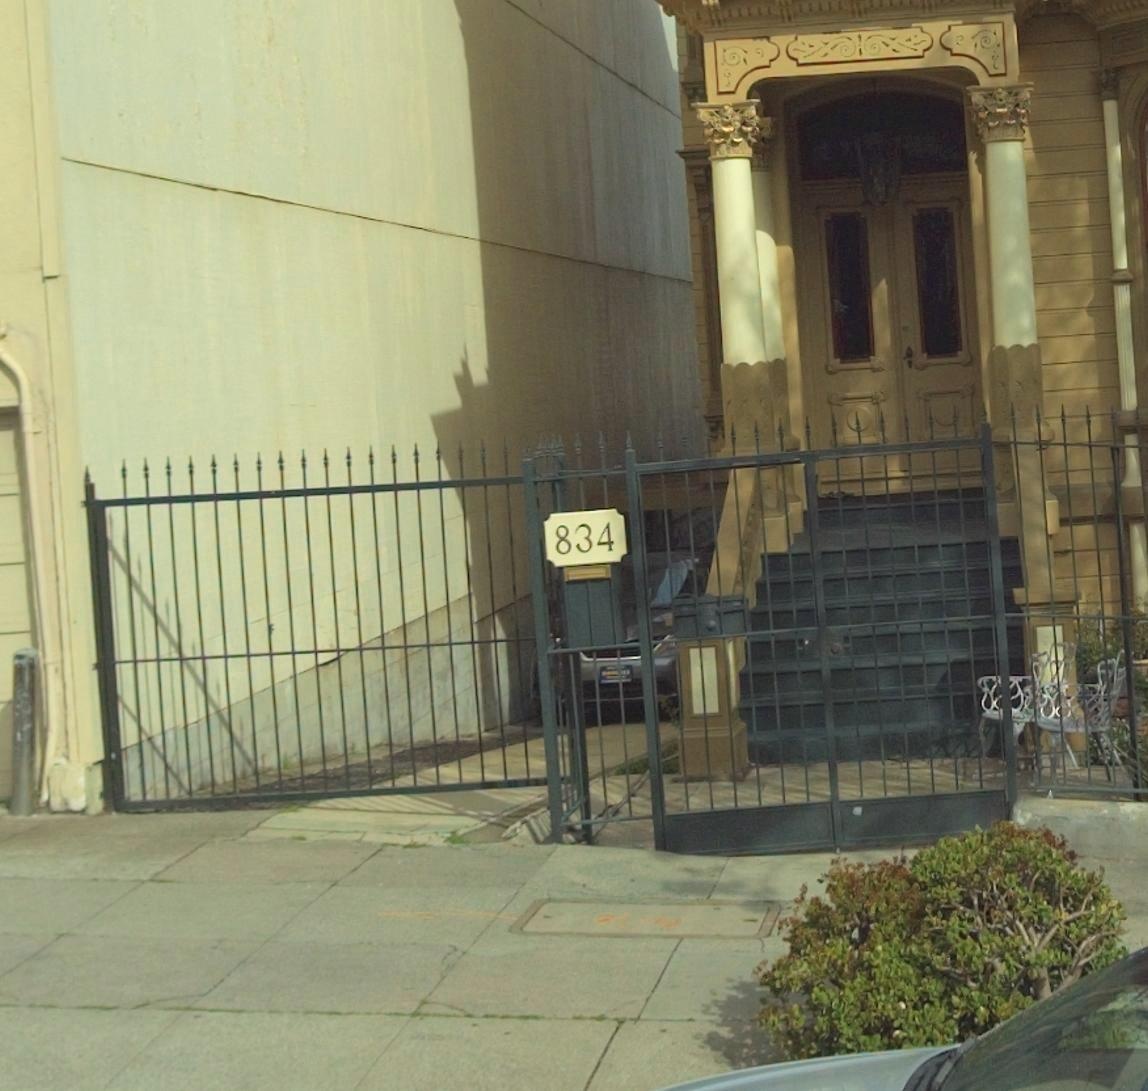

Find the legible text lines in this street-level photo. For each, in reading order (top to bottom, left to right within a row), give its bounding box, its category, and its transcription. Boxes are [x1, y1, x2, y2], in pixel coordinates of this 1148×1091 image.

[552, 519, 617, 557] StreetNumber: 834